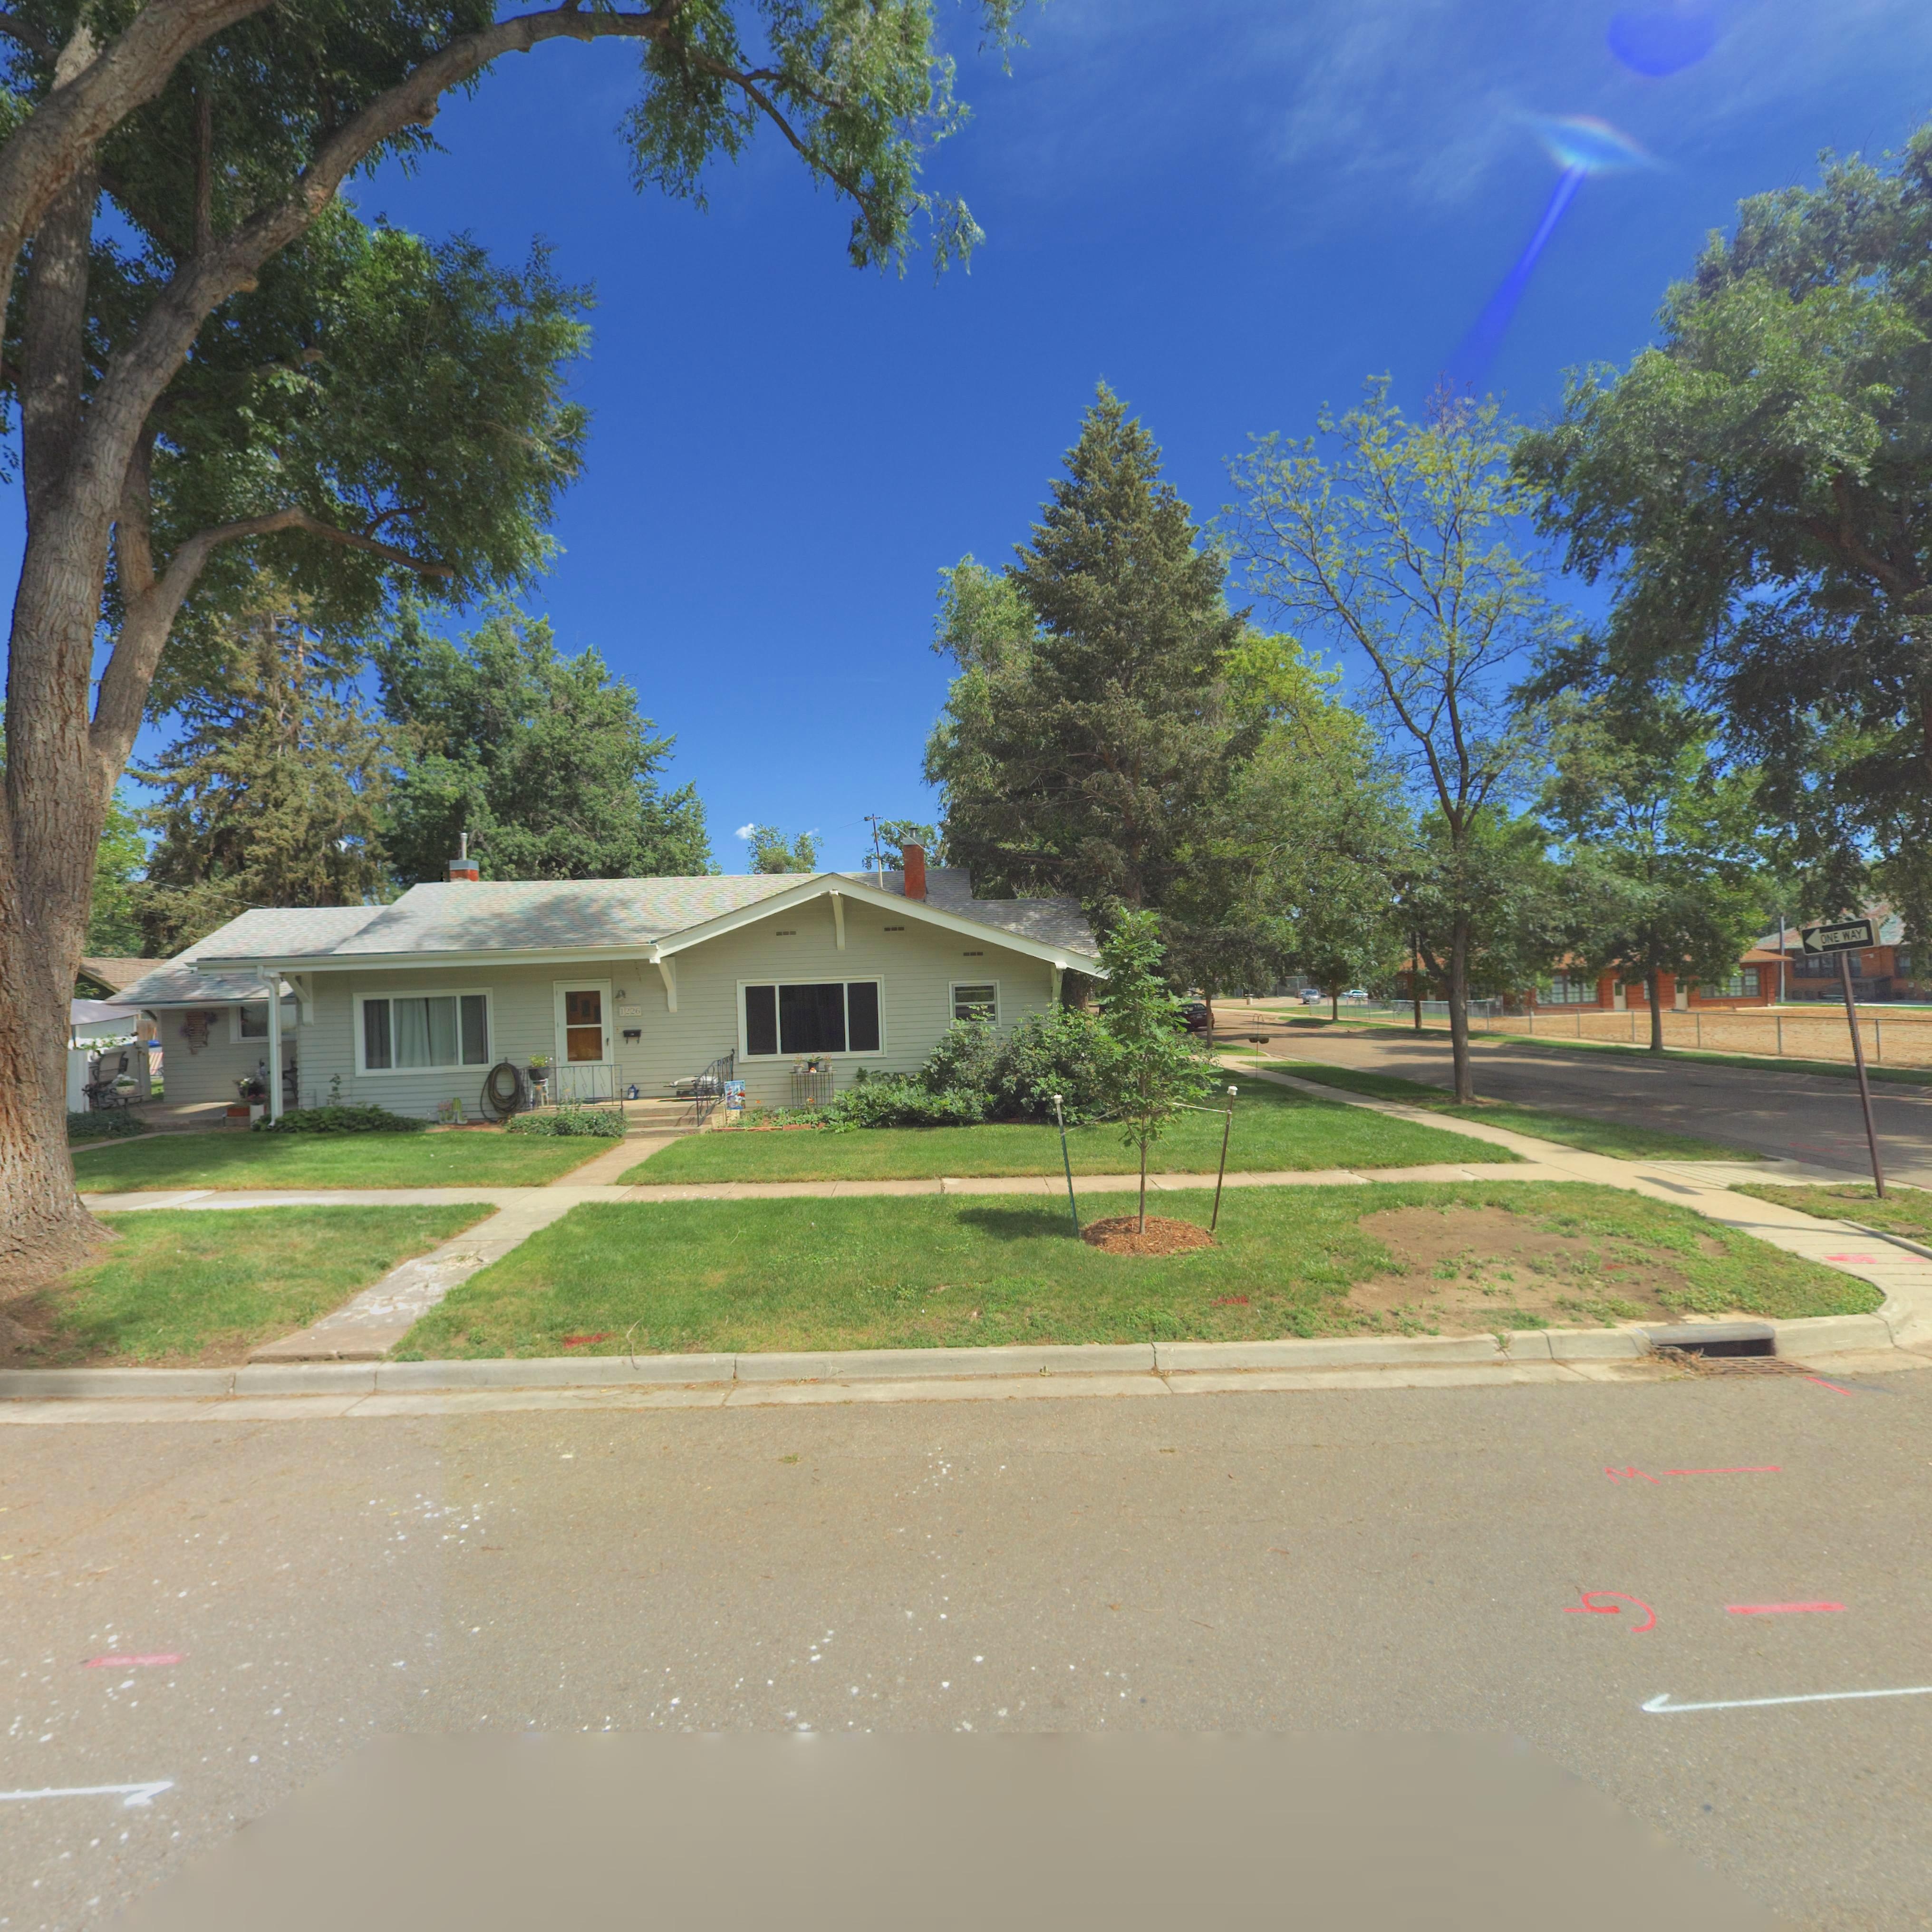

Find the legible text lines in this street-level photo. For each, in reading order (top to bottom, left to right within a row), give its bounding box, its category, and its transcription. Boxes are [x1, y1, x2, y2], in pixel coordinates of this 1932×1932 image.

[620, 1007, 640, 1014] StreetNumber: 1226